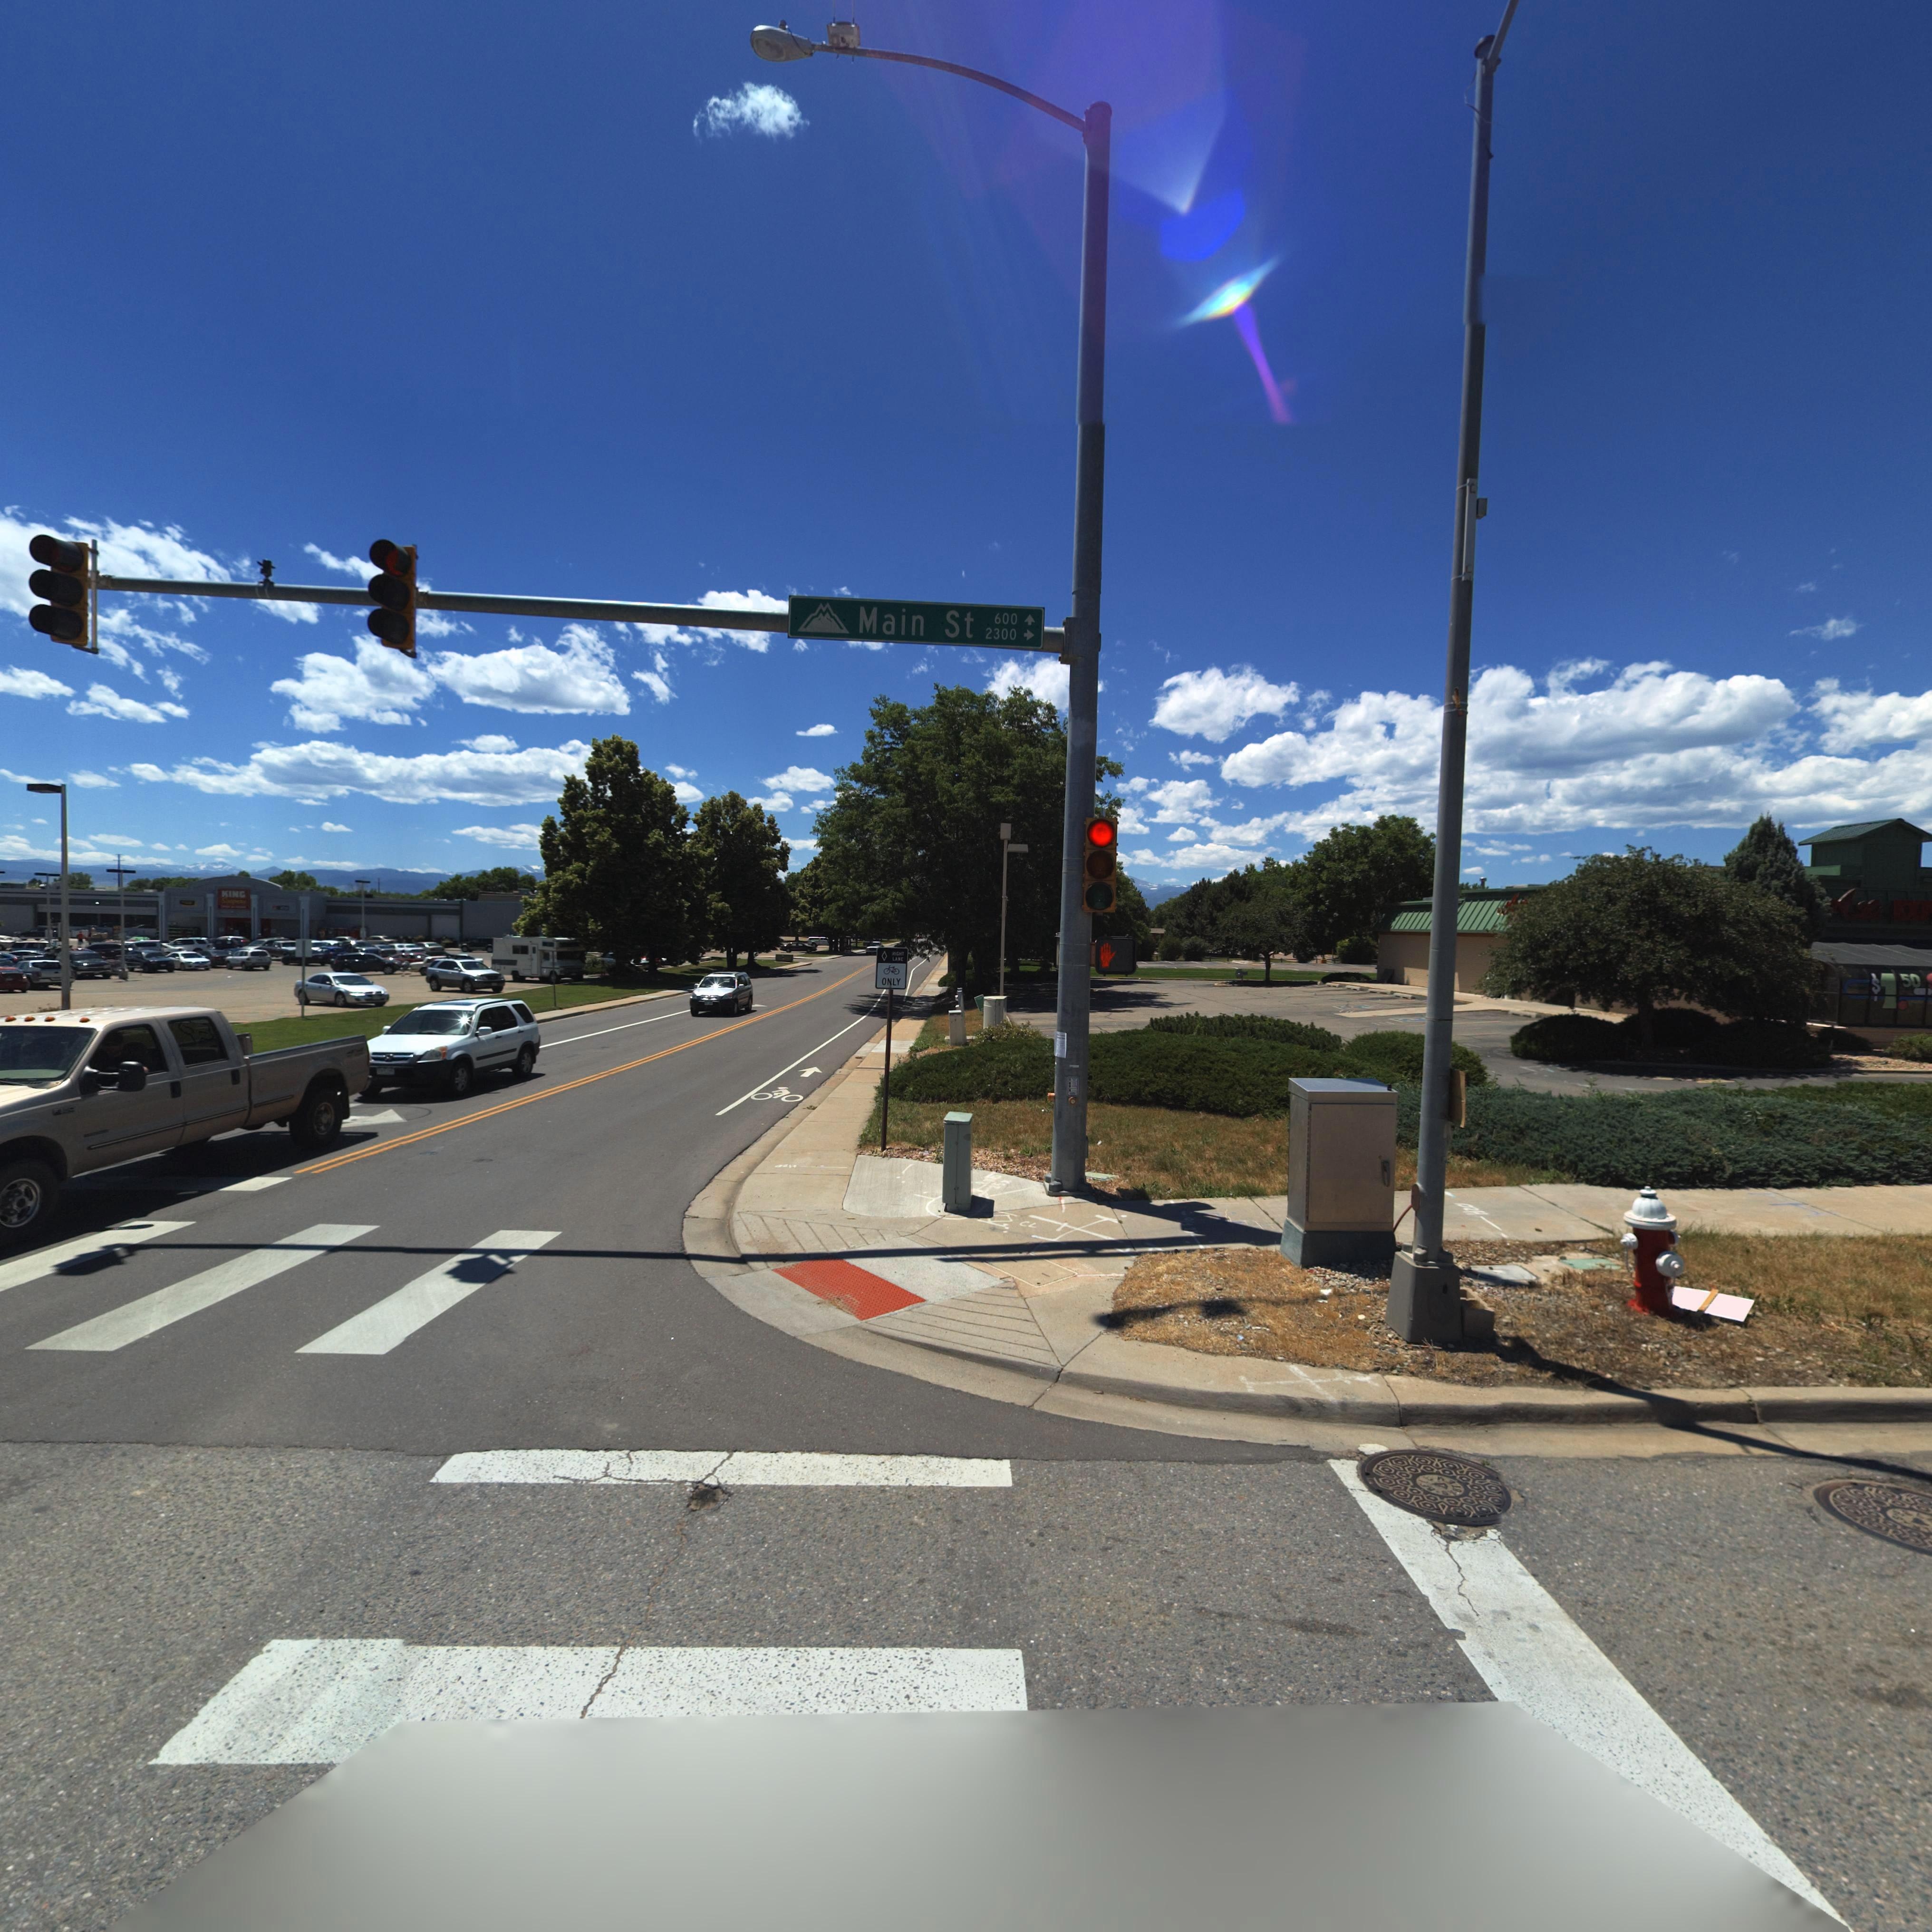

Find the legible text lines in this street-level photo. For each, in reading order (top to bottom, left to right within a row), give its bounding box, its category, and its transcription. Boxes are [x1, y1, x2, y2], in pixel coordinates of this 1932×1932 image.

[859, 606, 975, 639] StreetName: Main St
[994, 612, 1017, 625] StreetNumberRange: 600
[985, 627, 1035, 640] StreetNumberRange: 2300->
[222, 890, 245, 898] BusinessName: KING
[221, 897, 246, 905] BusinessName: Soope**
[1830, 887, 1922, 921] BusinessName: *li EX